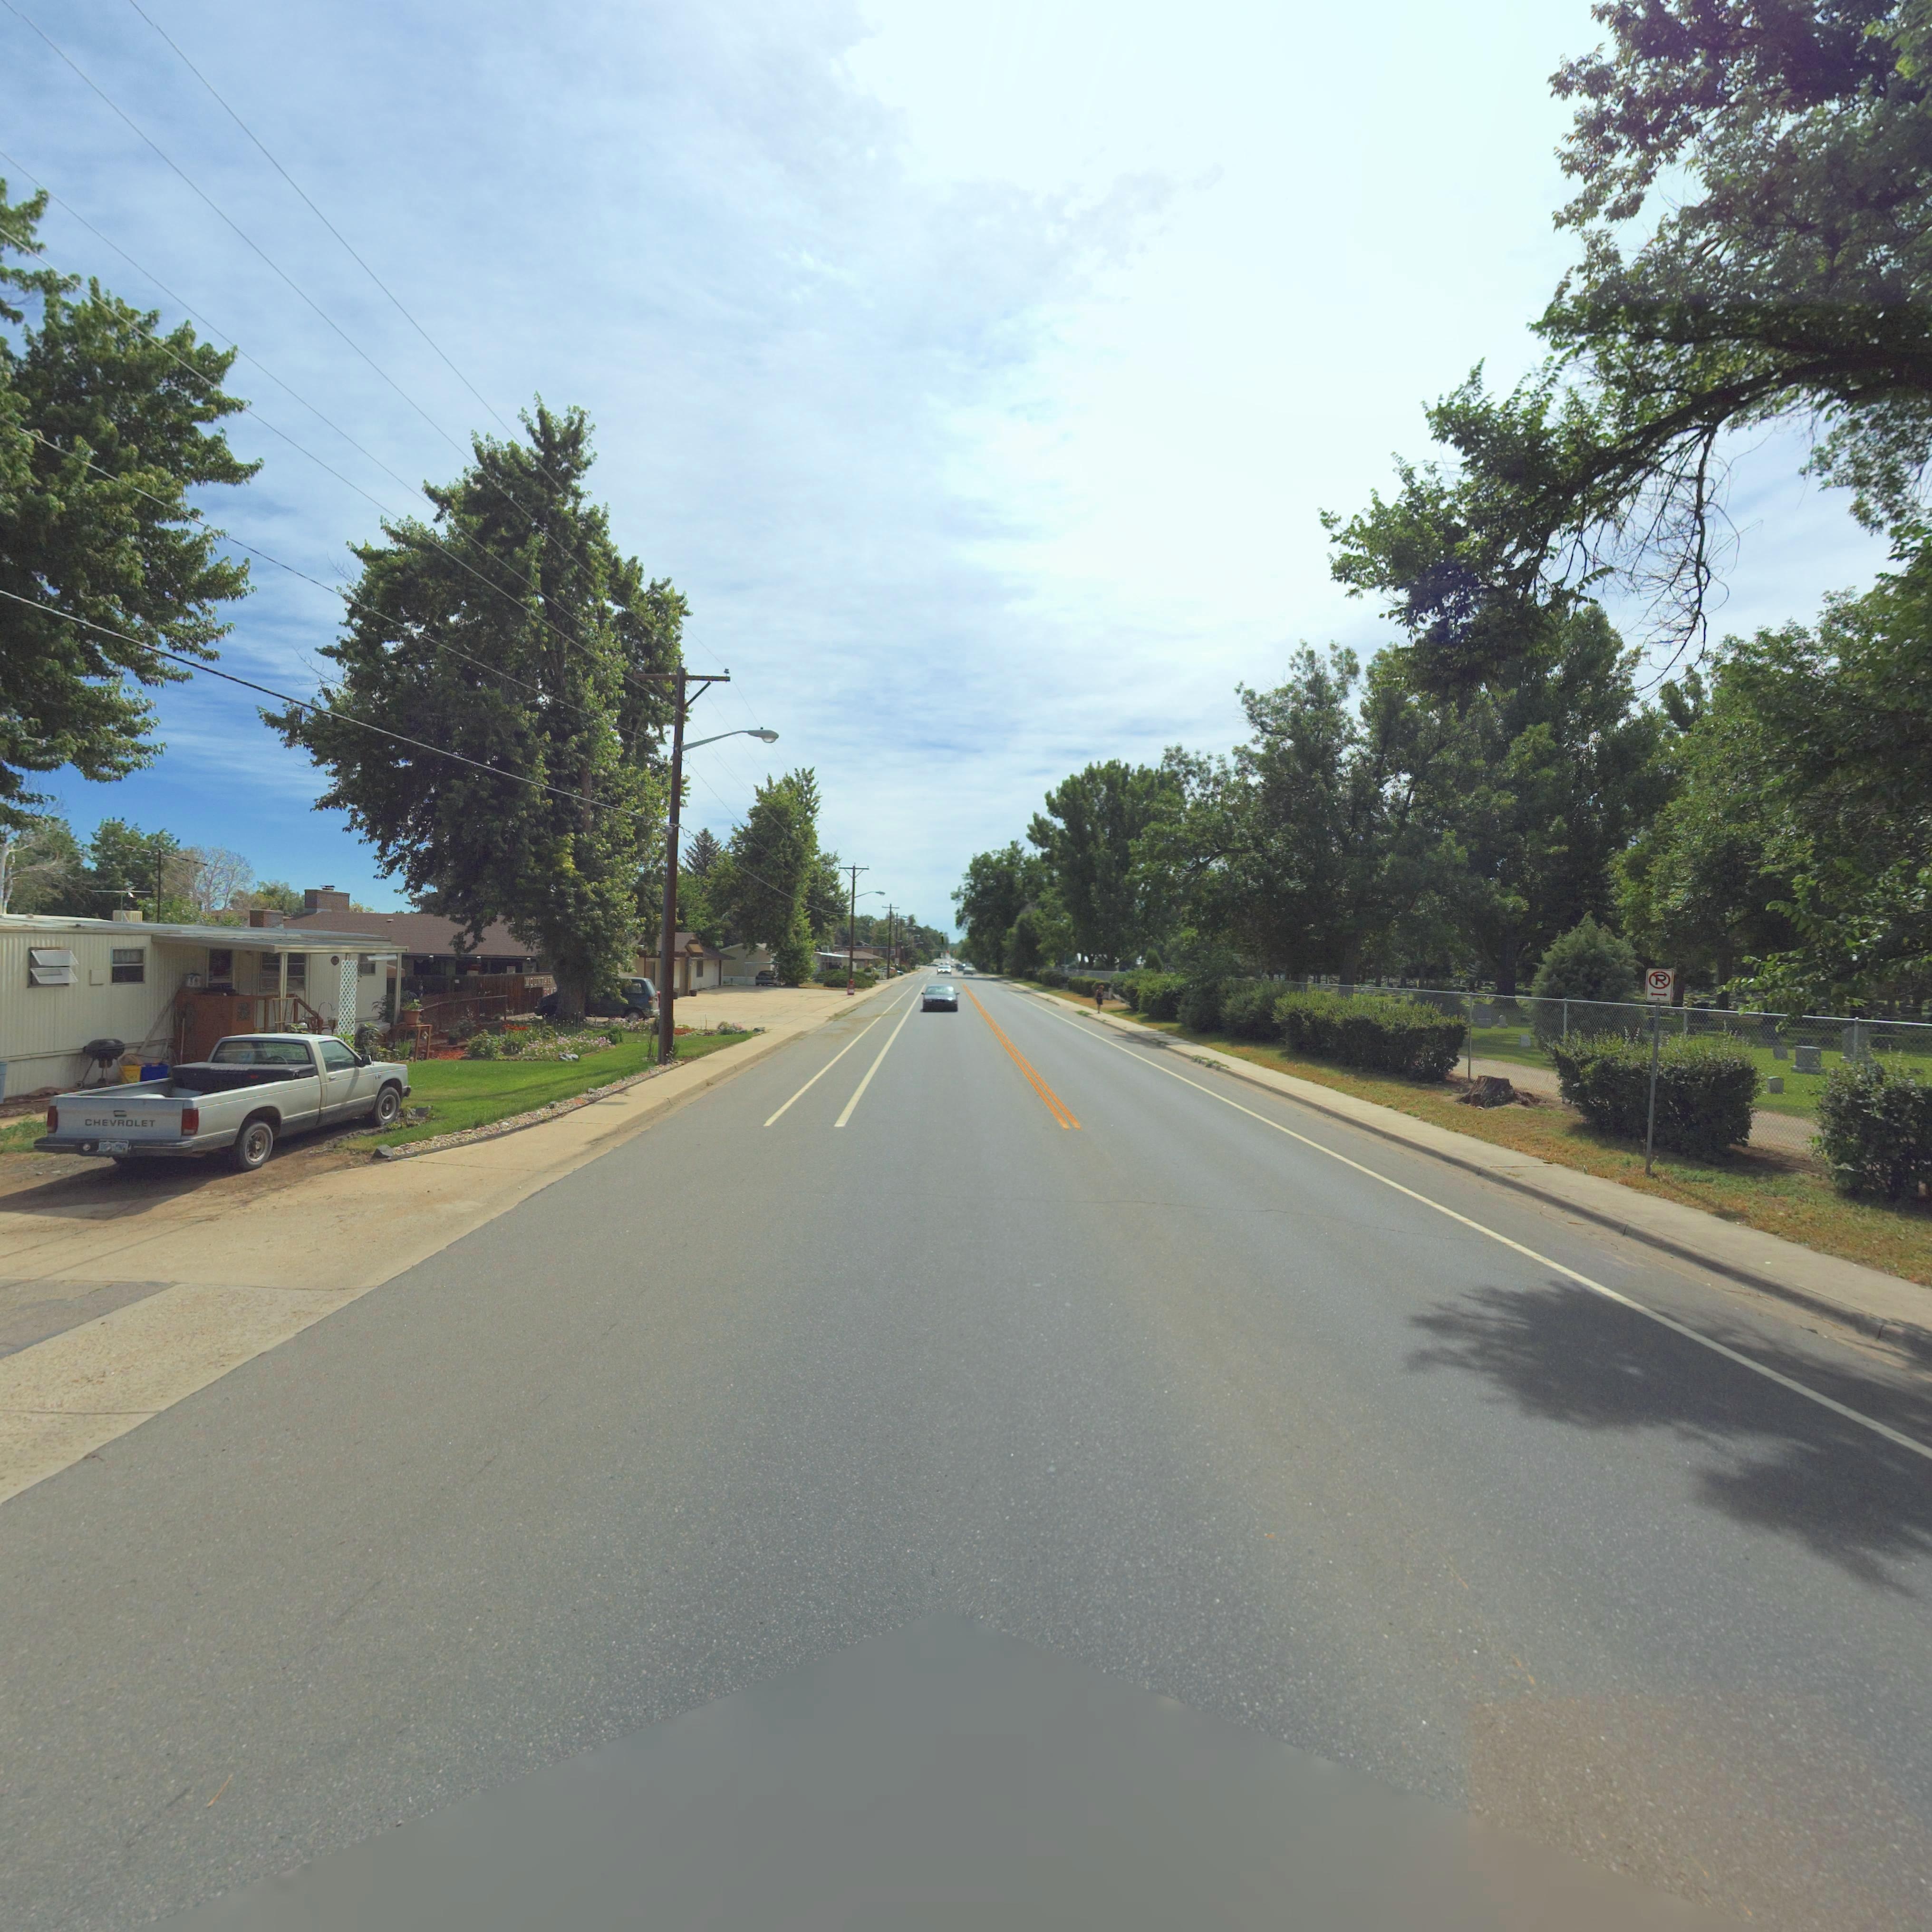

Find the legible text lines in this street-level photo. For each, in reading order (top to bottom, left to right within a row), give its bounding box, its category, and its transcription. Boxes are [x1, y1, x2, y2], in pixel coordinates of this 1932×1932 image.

[525, 976, 552, 986] BusinessName: MOUNTAIN
[543, 987, 556, 996] BusinessName: HOM*